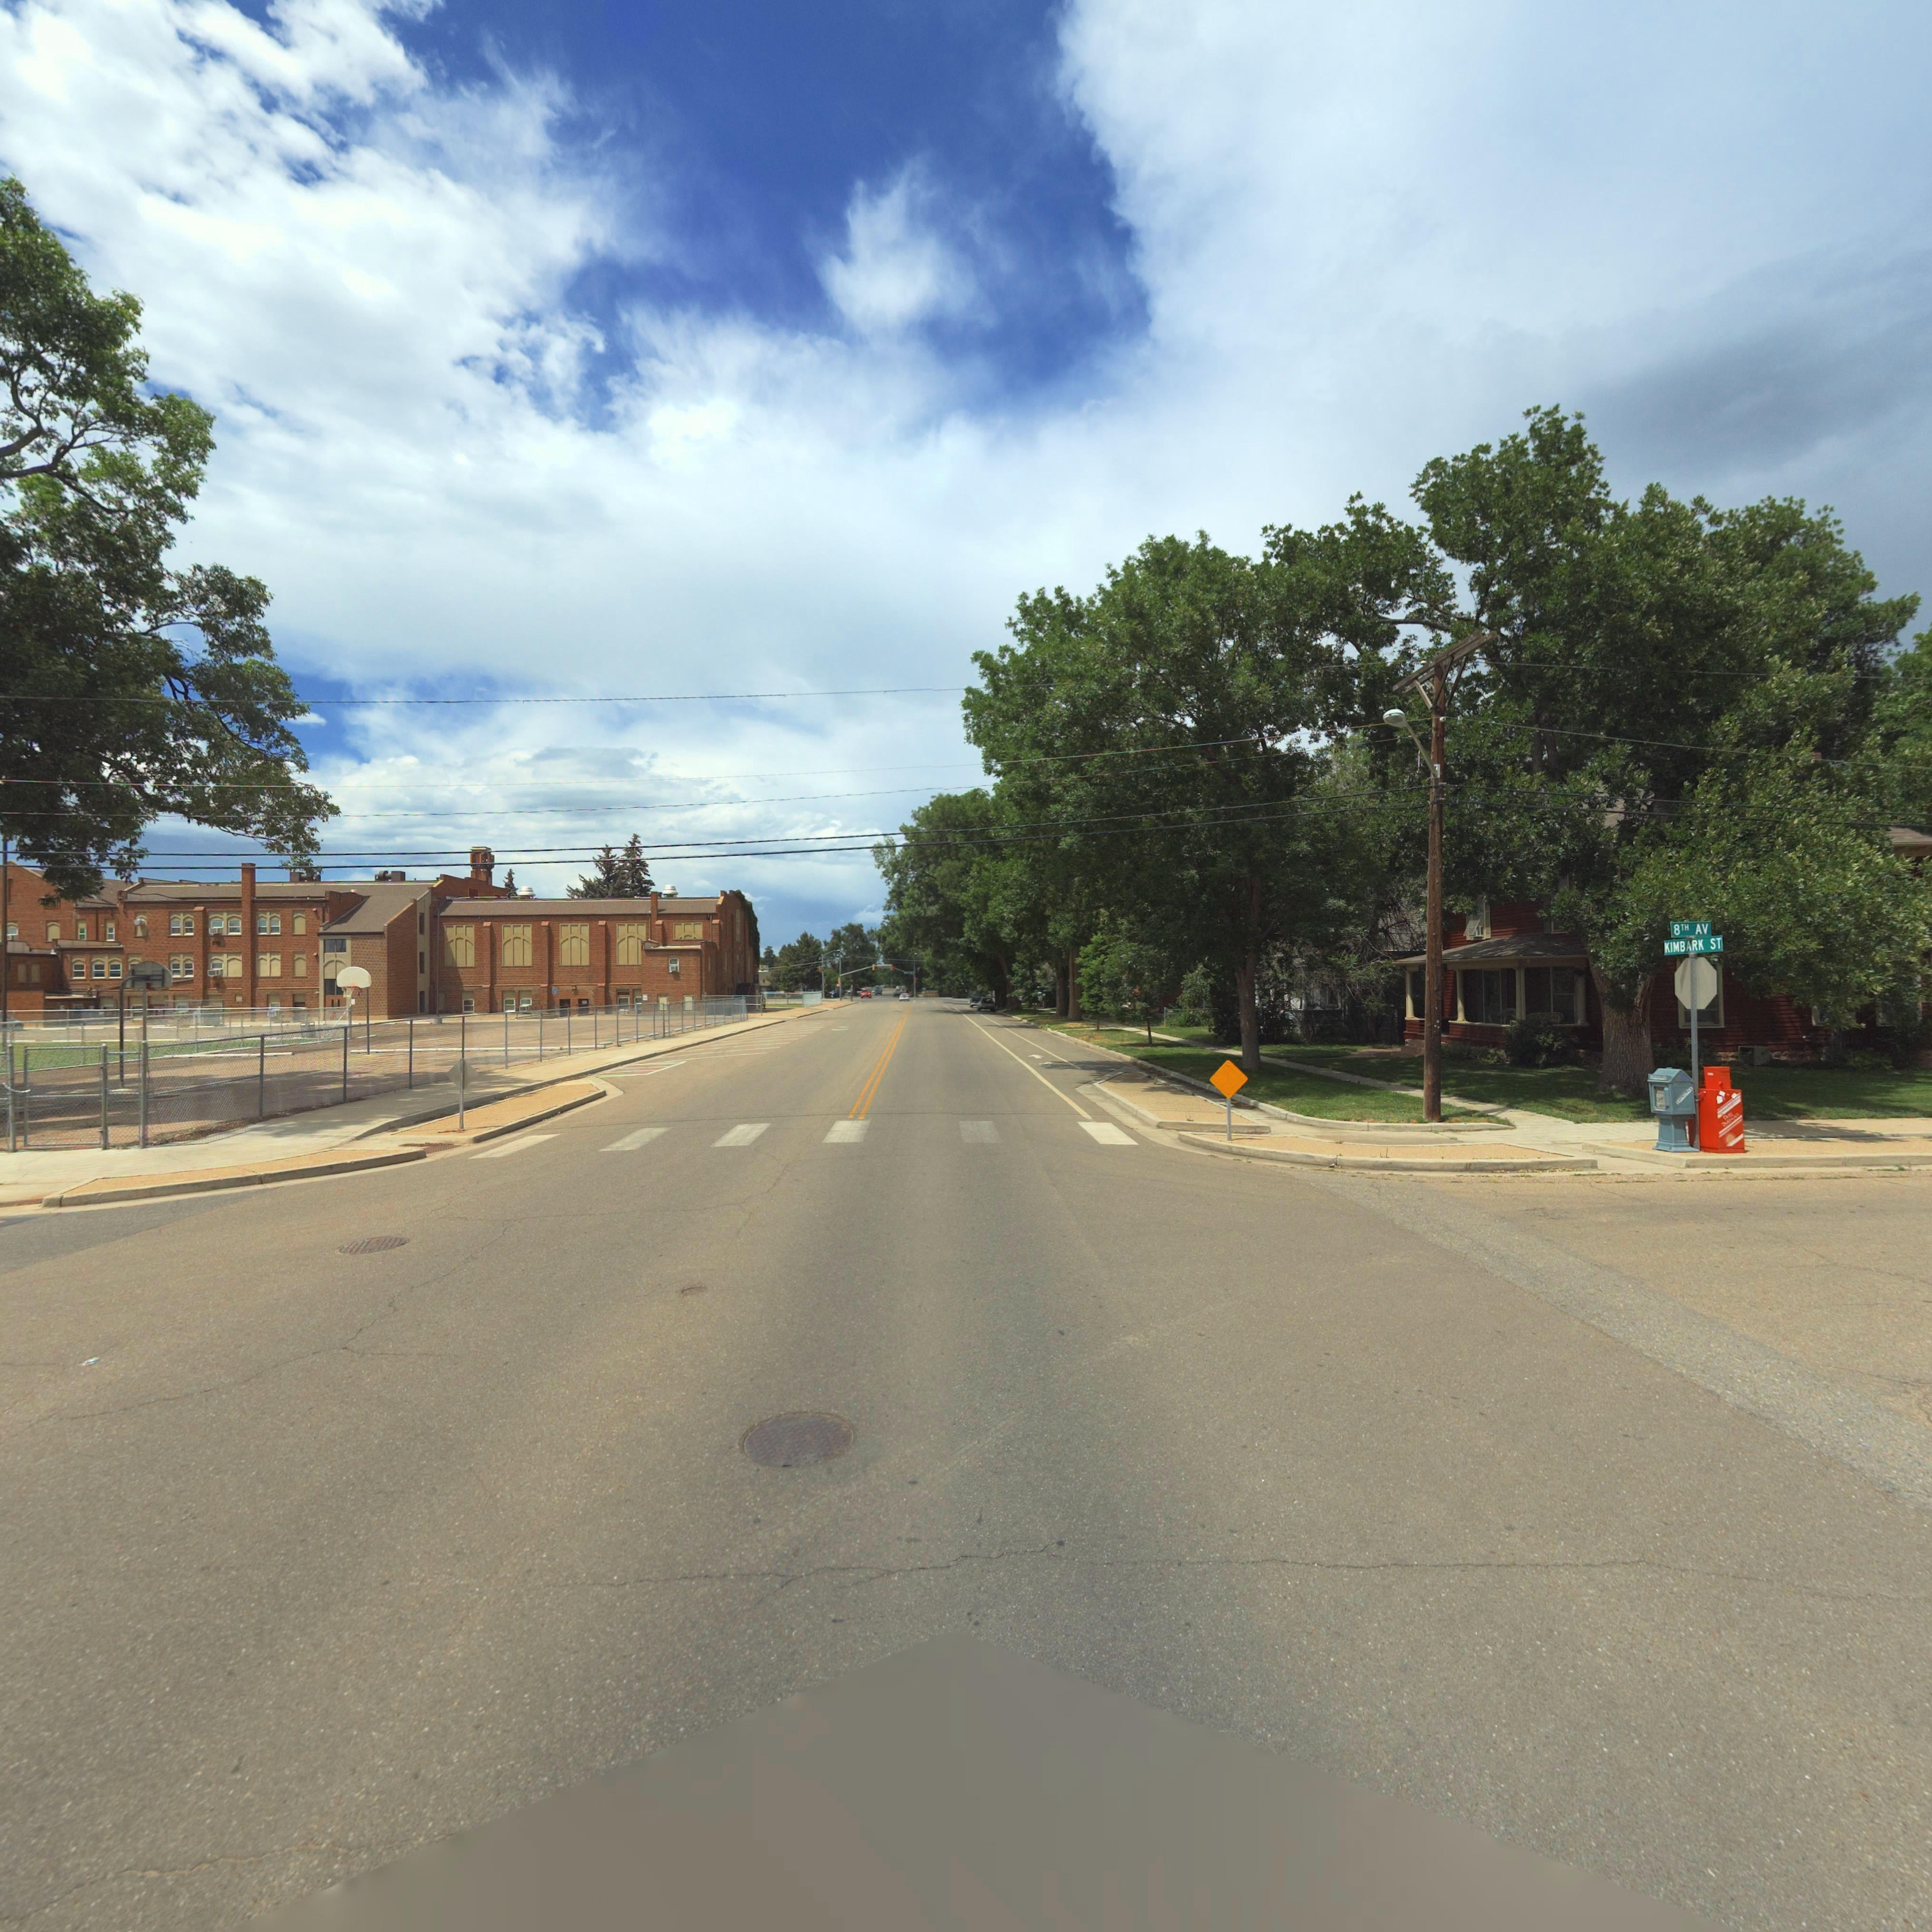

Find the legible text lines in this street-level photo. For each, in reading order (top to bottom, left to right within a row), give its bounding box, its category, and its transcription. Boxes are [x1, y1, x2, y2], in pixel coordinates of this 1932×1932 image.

[1673, 923, 1709, 936] StreetName: 8TH AV
[1664, 937, 1721, 953] StreetName: KIMBARK ST